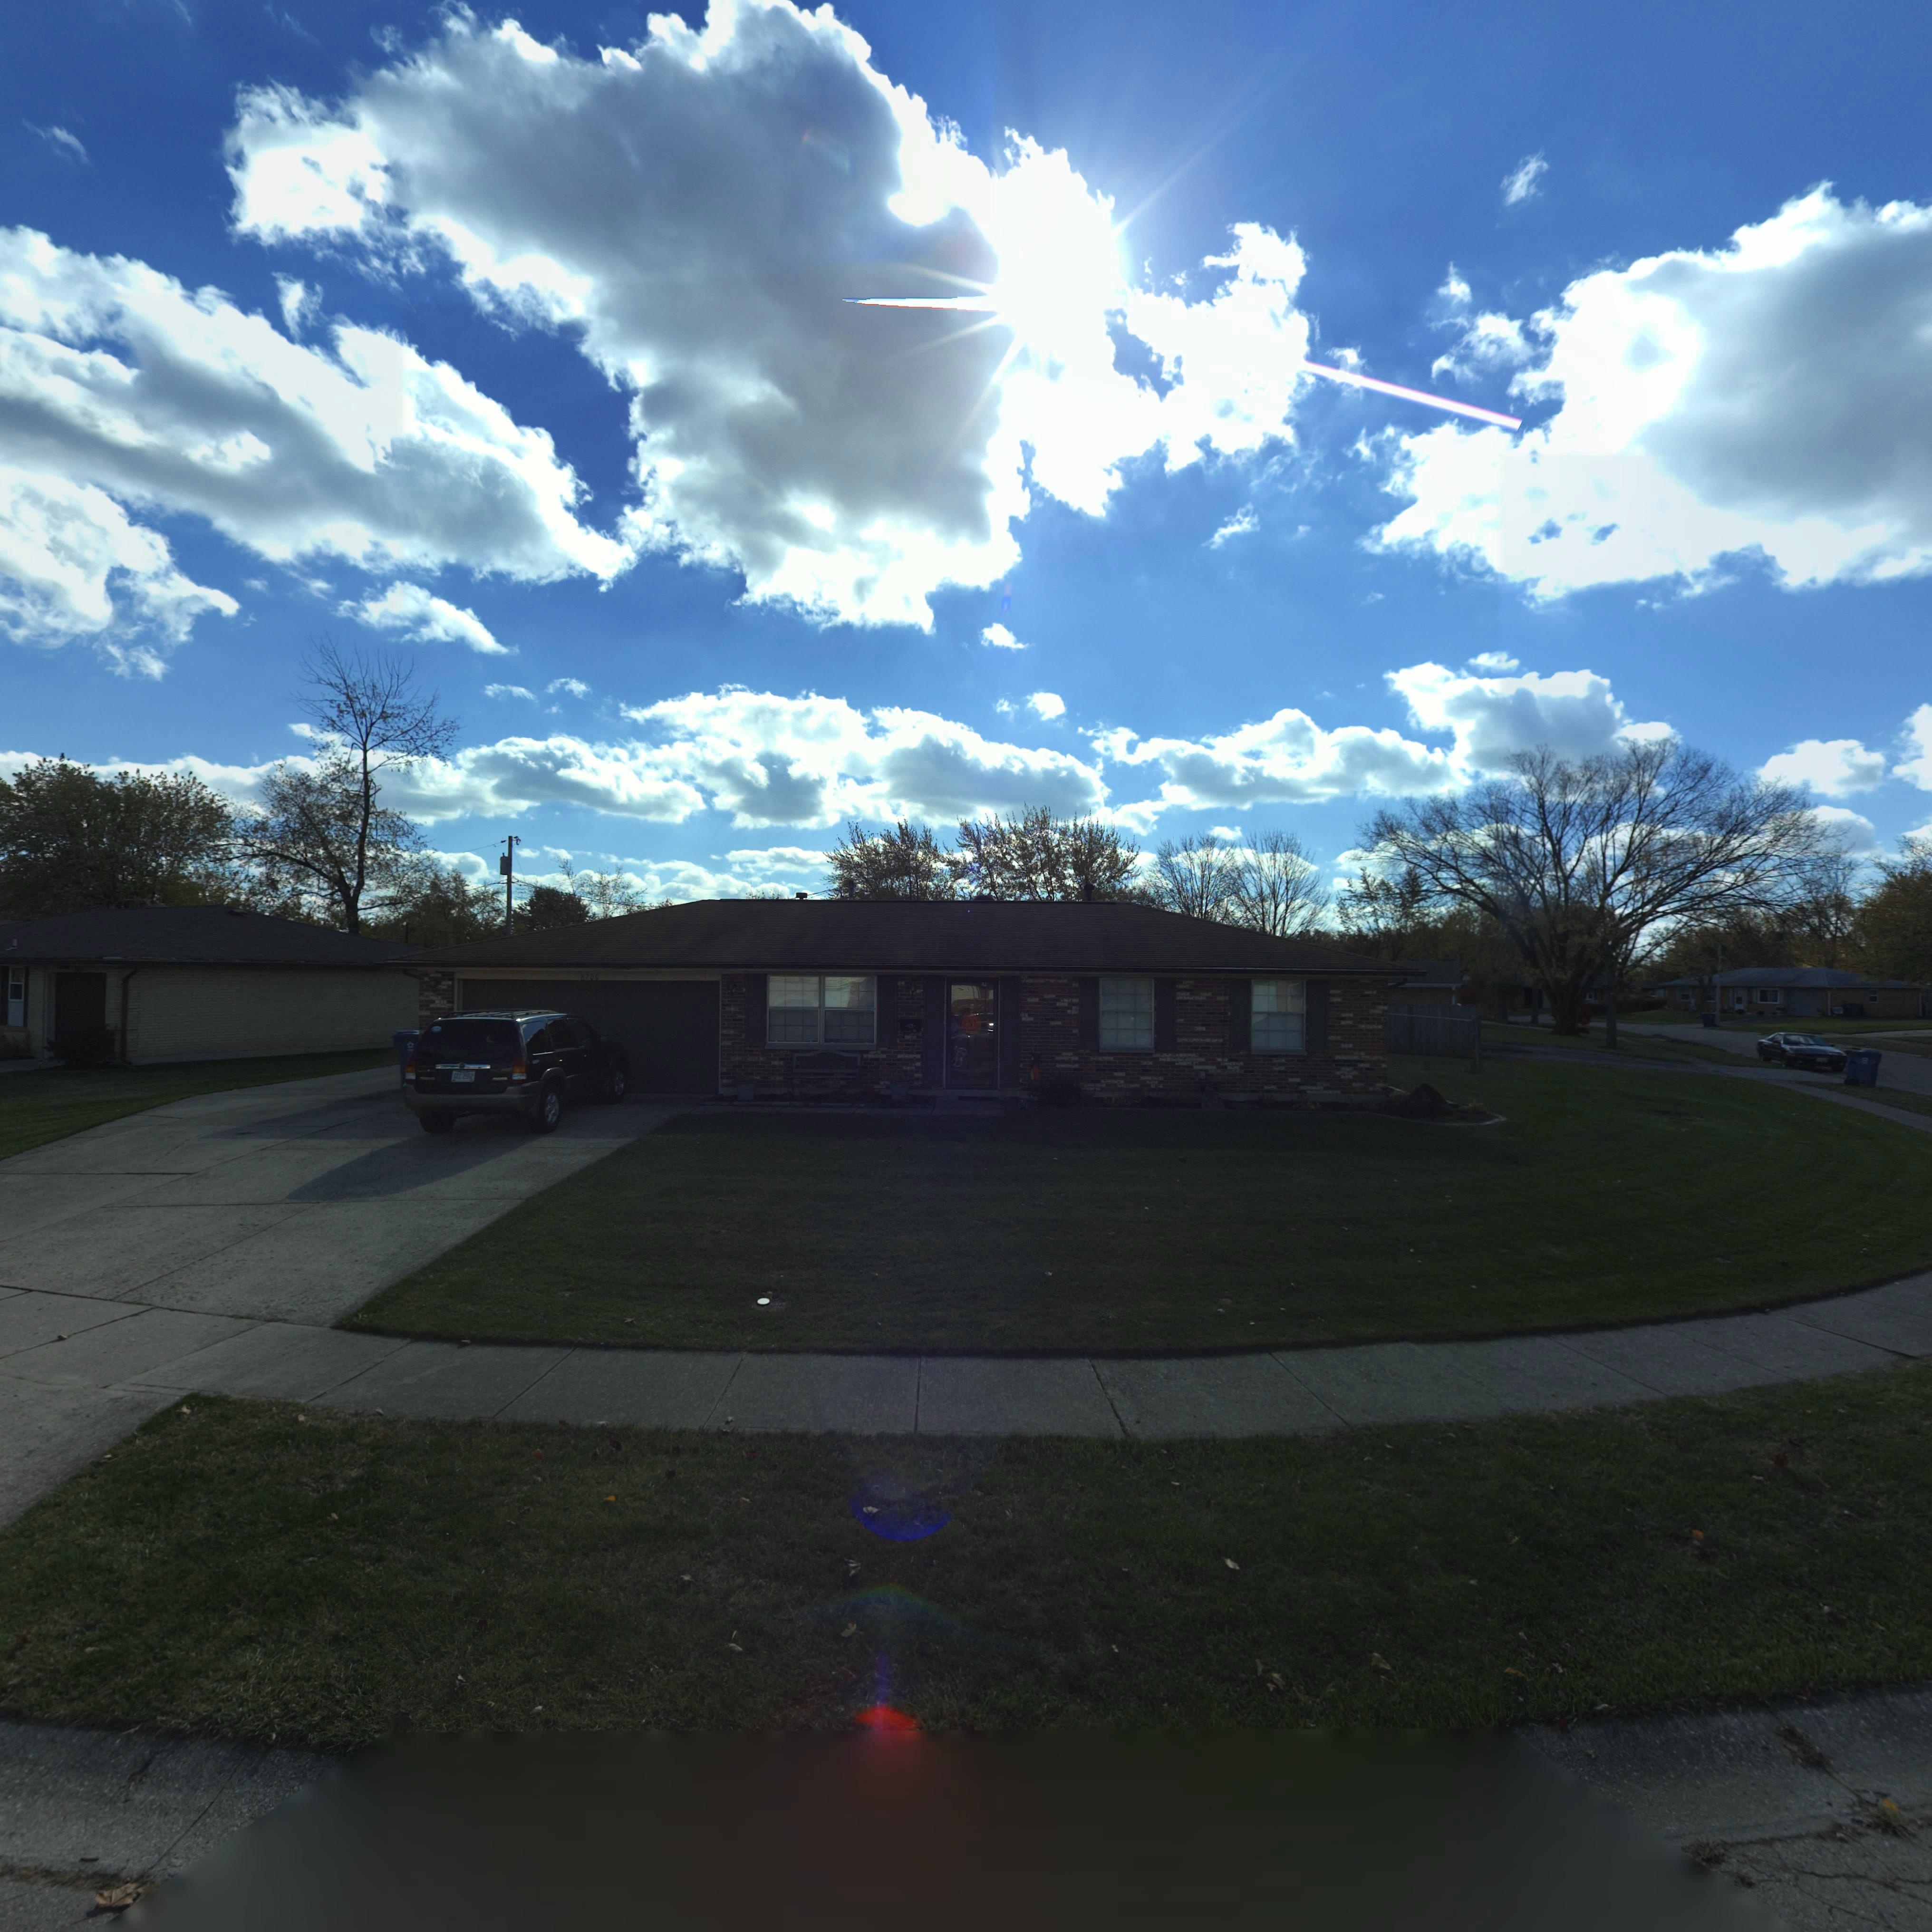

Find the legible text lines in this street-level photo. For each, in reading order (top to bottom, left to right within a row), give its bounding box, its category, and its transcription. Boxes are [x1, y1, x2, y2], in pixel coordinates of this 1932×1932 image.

[580, 974, 599, 981] StreetNumber: 6700